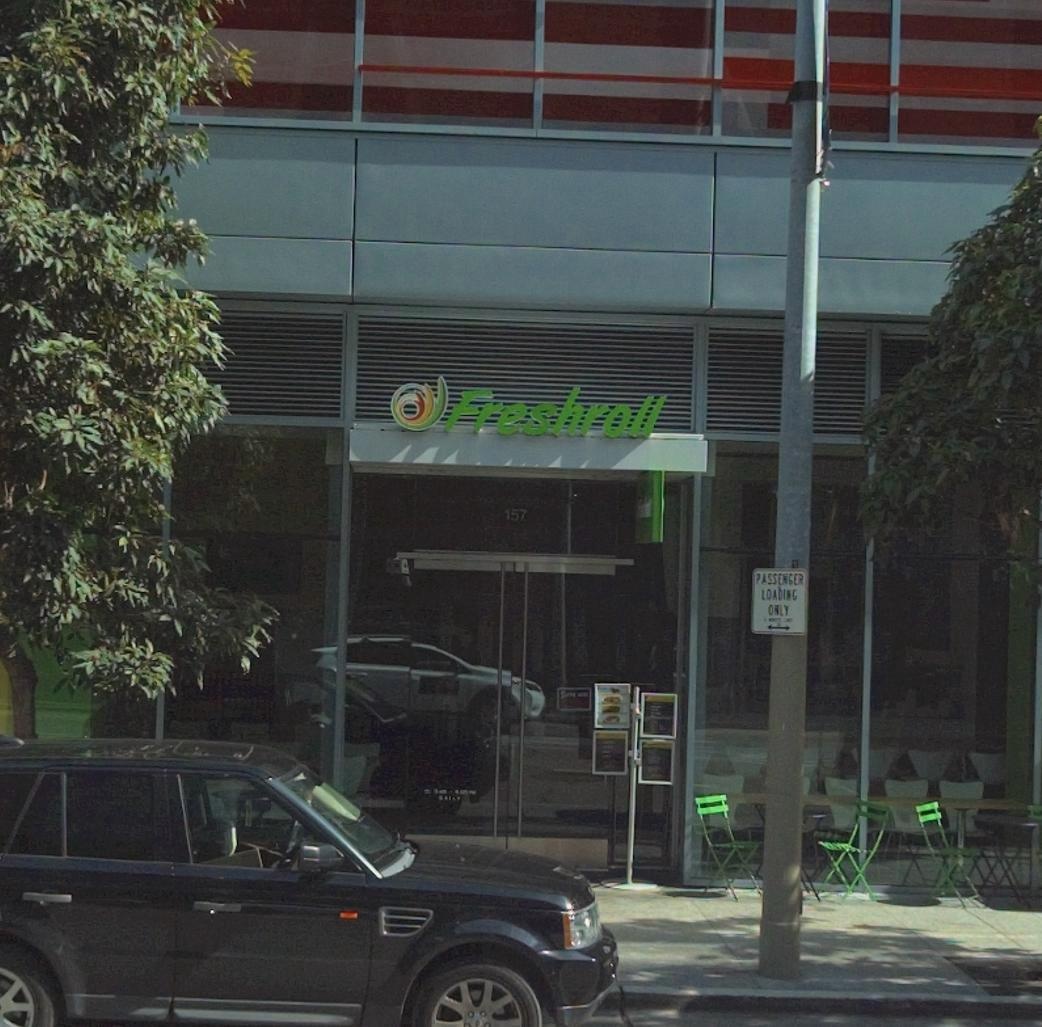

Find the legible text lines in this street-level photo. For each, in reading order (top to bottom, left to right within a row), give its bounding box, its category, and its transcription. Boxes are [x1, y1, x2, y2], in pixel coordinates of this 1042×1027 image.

[430, 381, 674, 441] BusinessName: Freshroll
[502, 505, 533, 524] StreetNumber: 157
[752, 569, 806, 588] None: PASSENGER
[757, 585, 800, 602] None: LOADING
[765, 603, 792, 618] None: ONLY